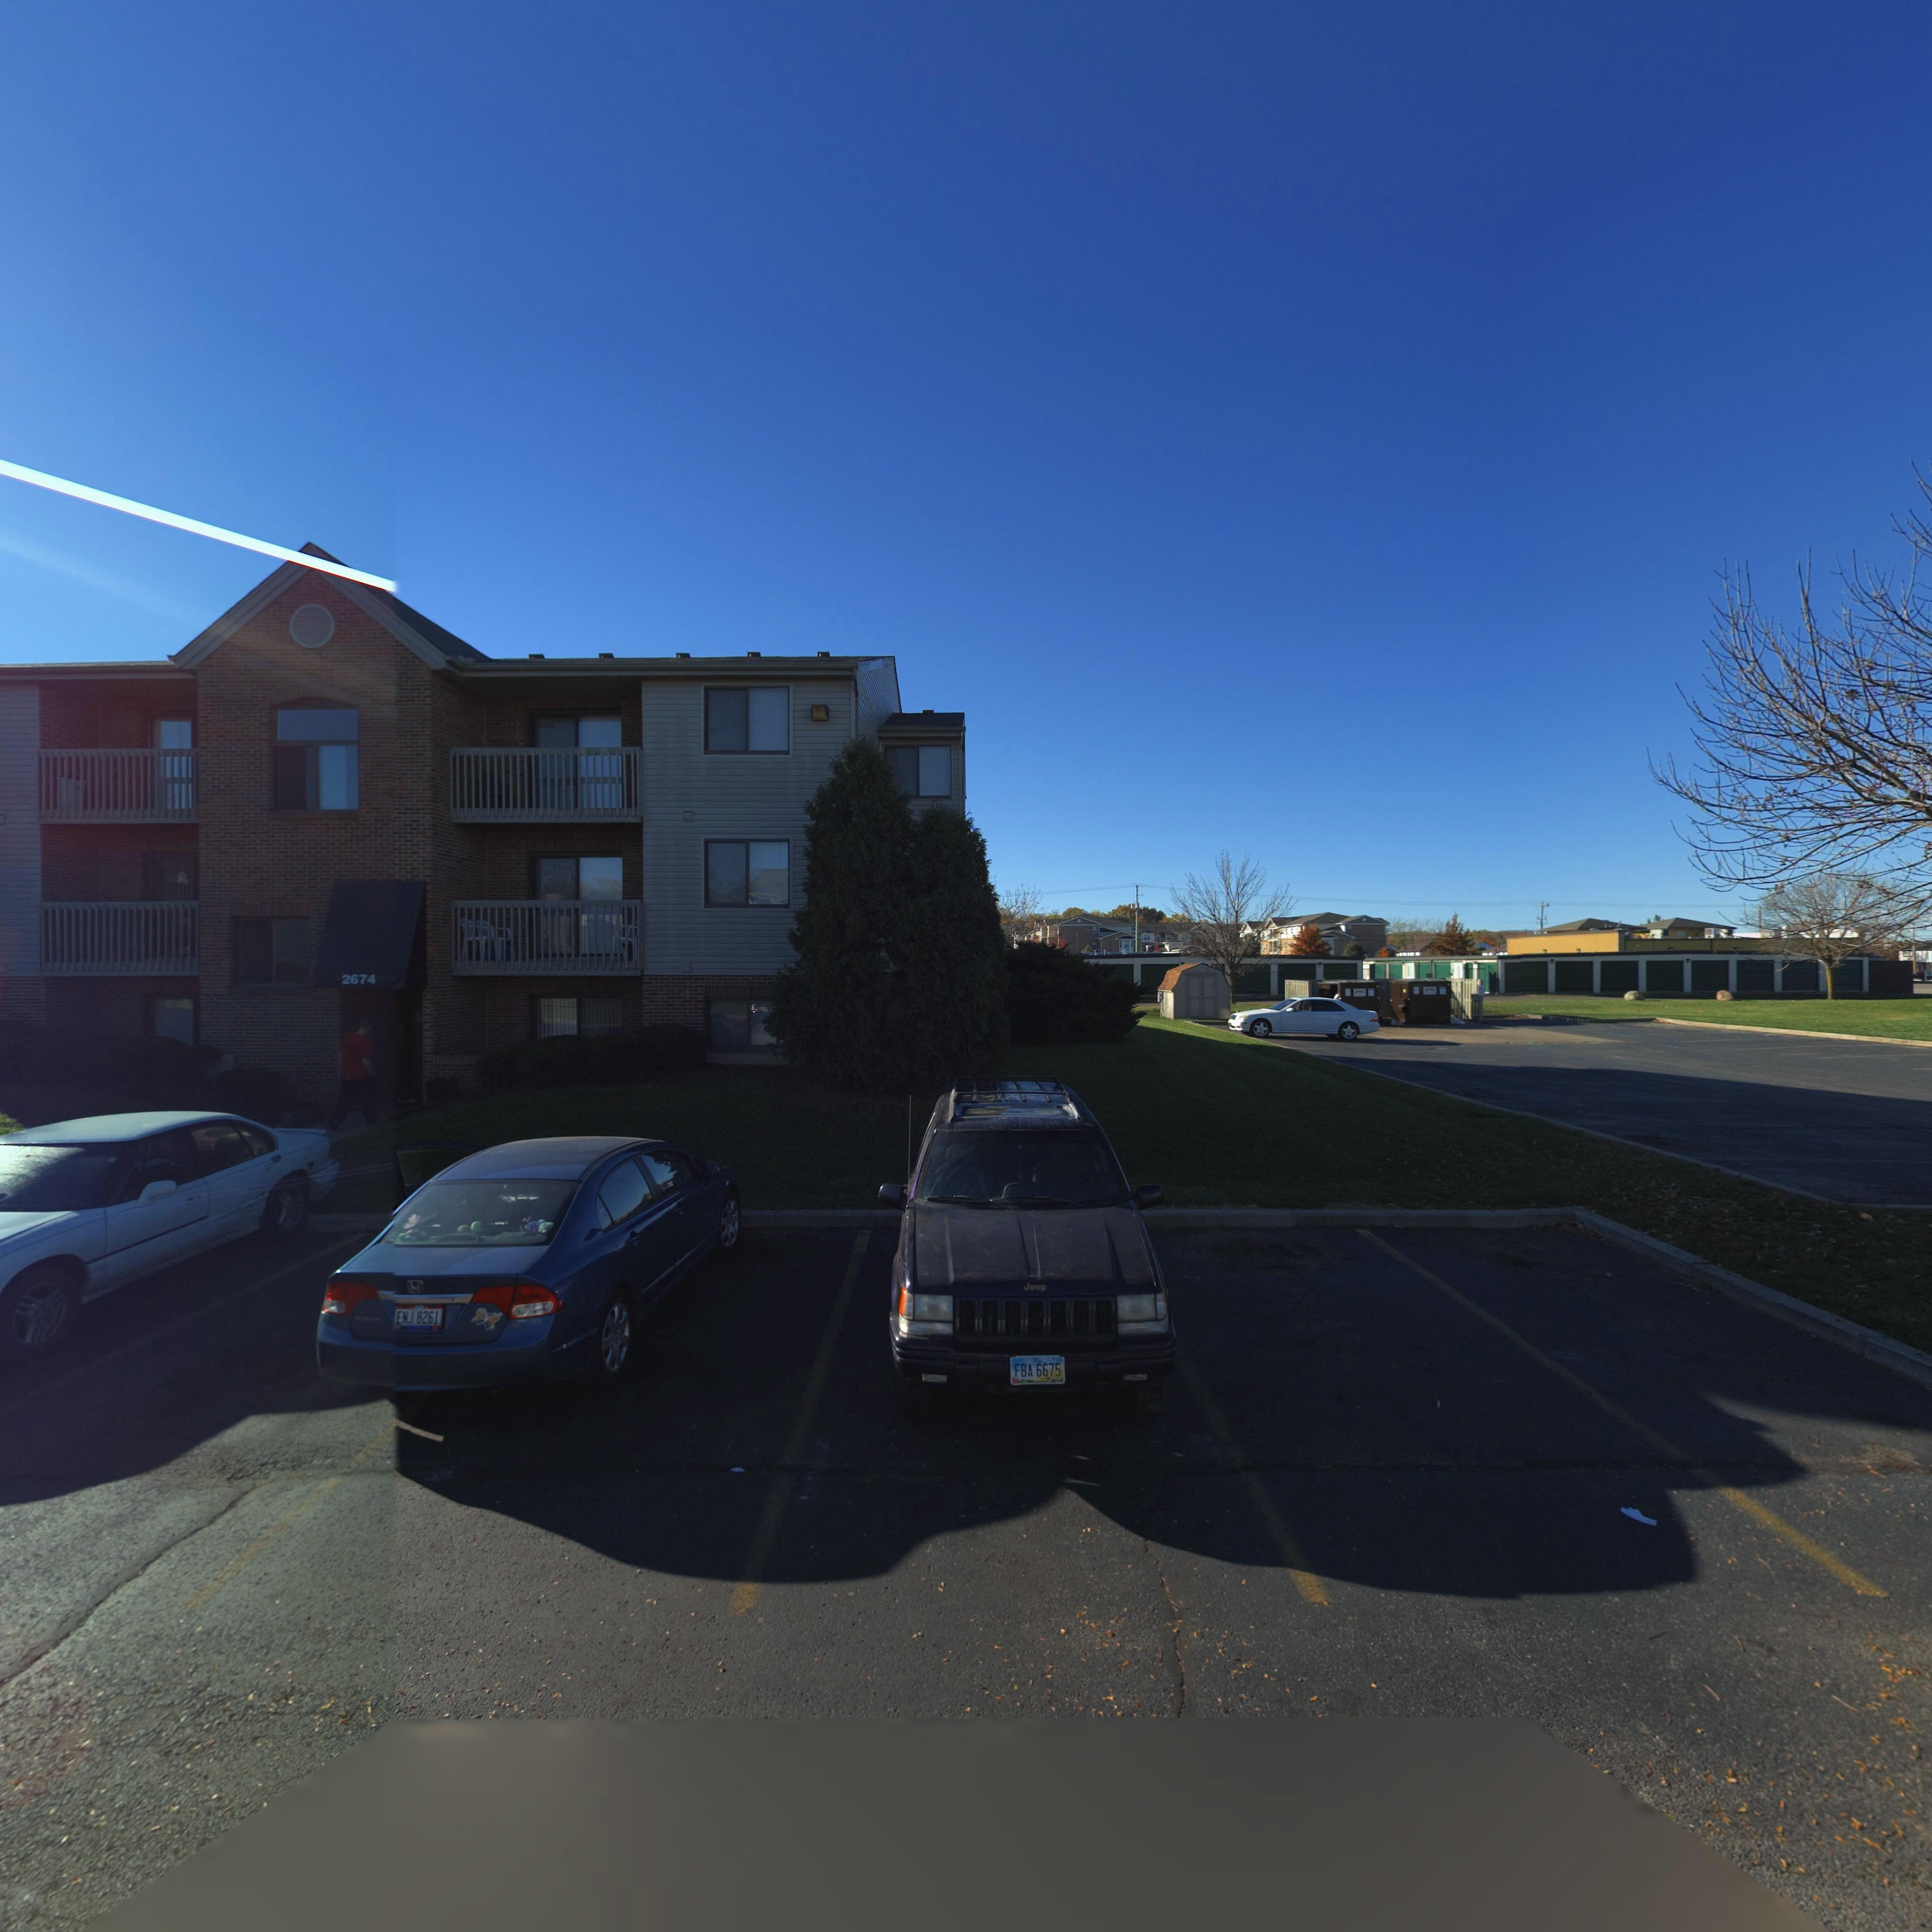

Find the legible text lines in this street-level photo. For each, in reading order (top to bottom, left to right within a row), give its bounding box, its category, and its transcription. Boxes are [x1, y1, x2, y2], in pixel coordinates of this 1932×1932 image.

[341, 974, 376, 985] StreetNumber: 2674